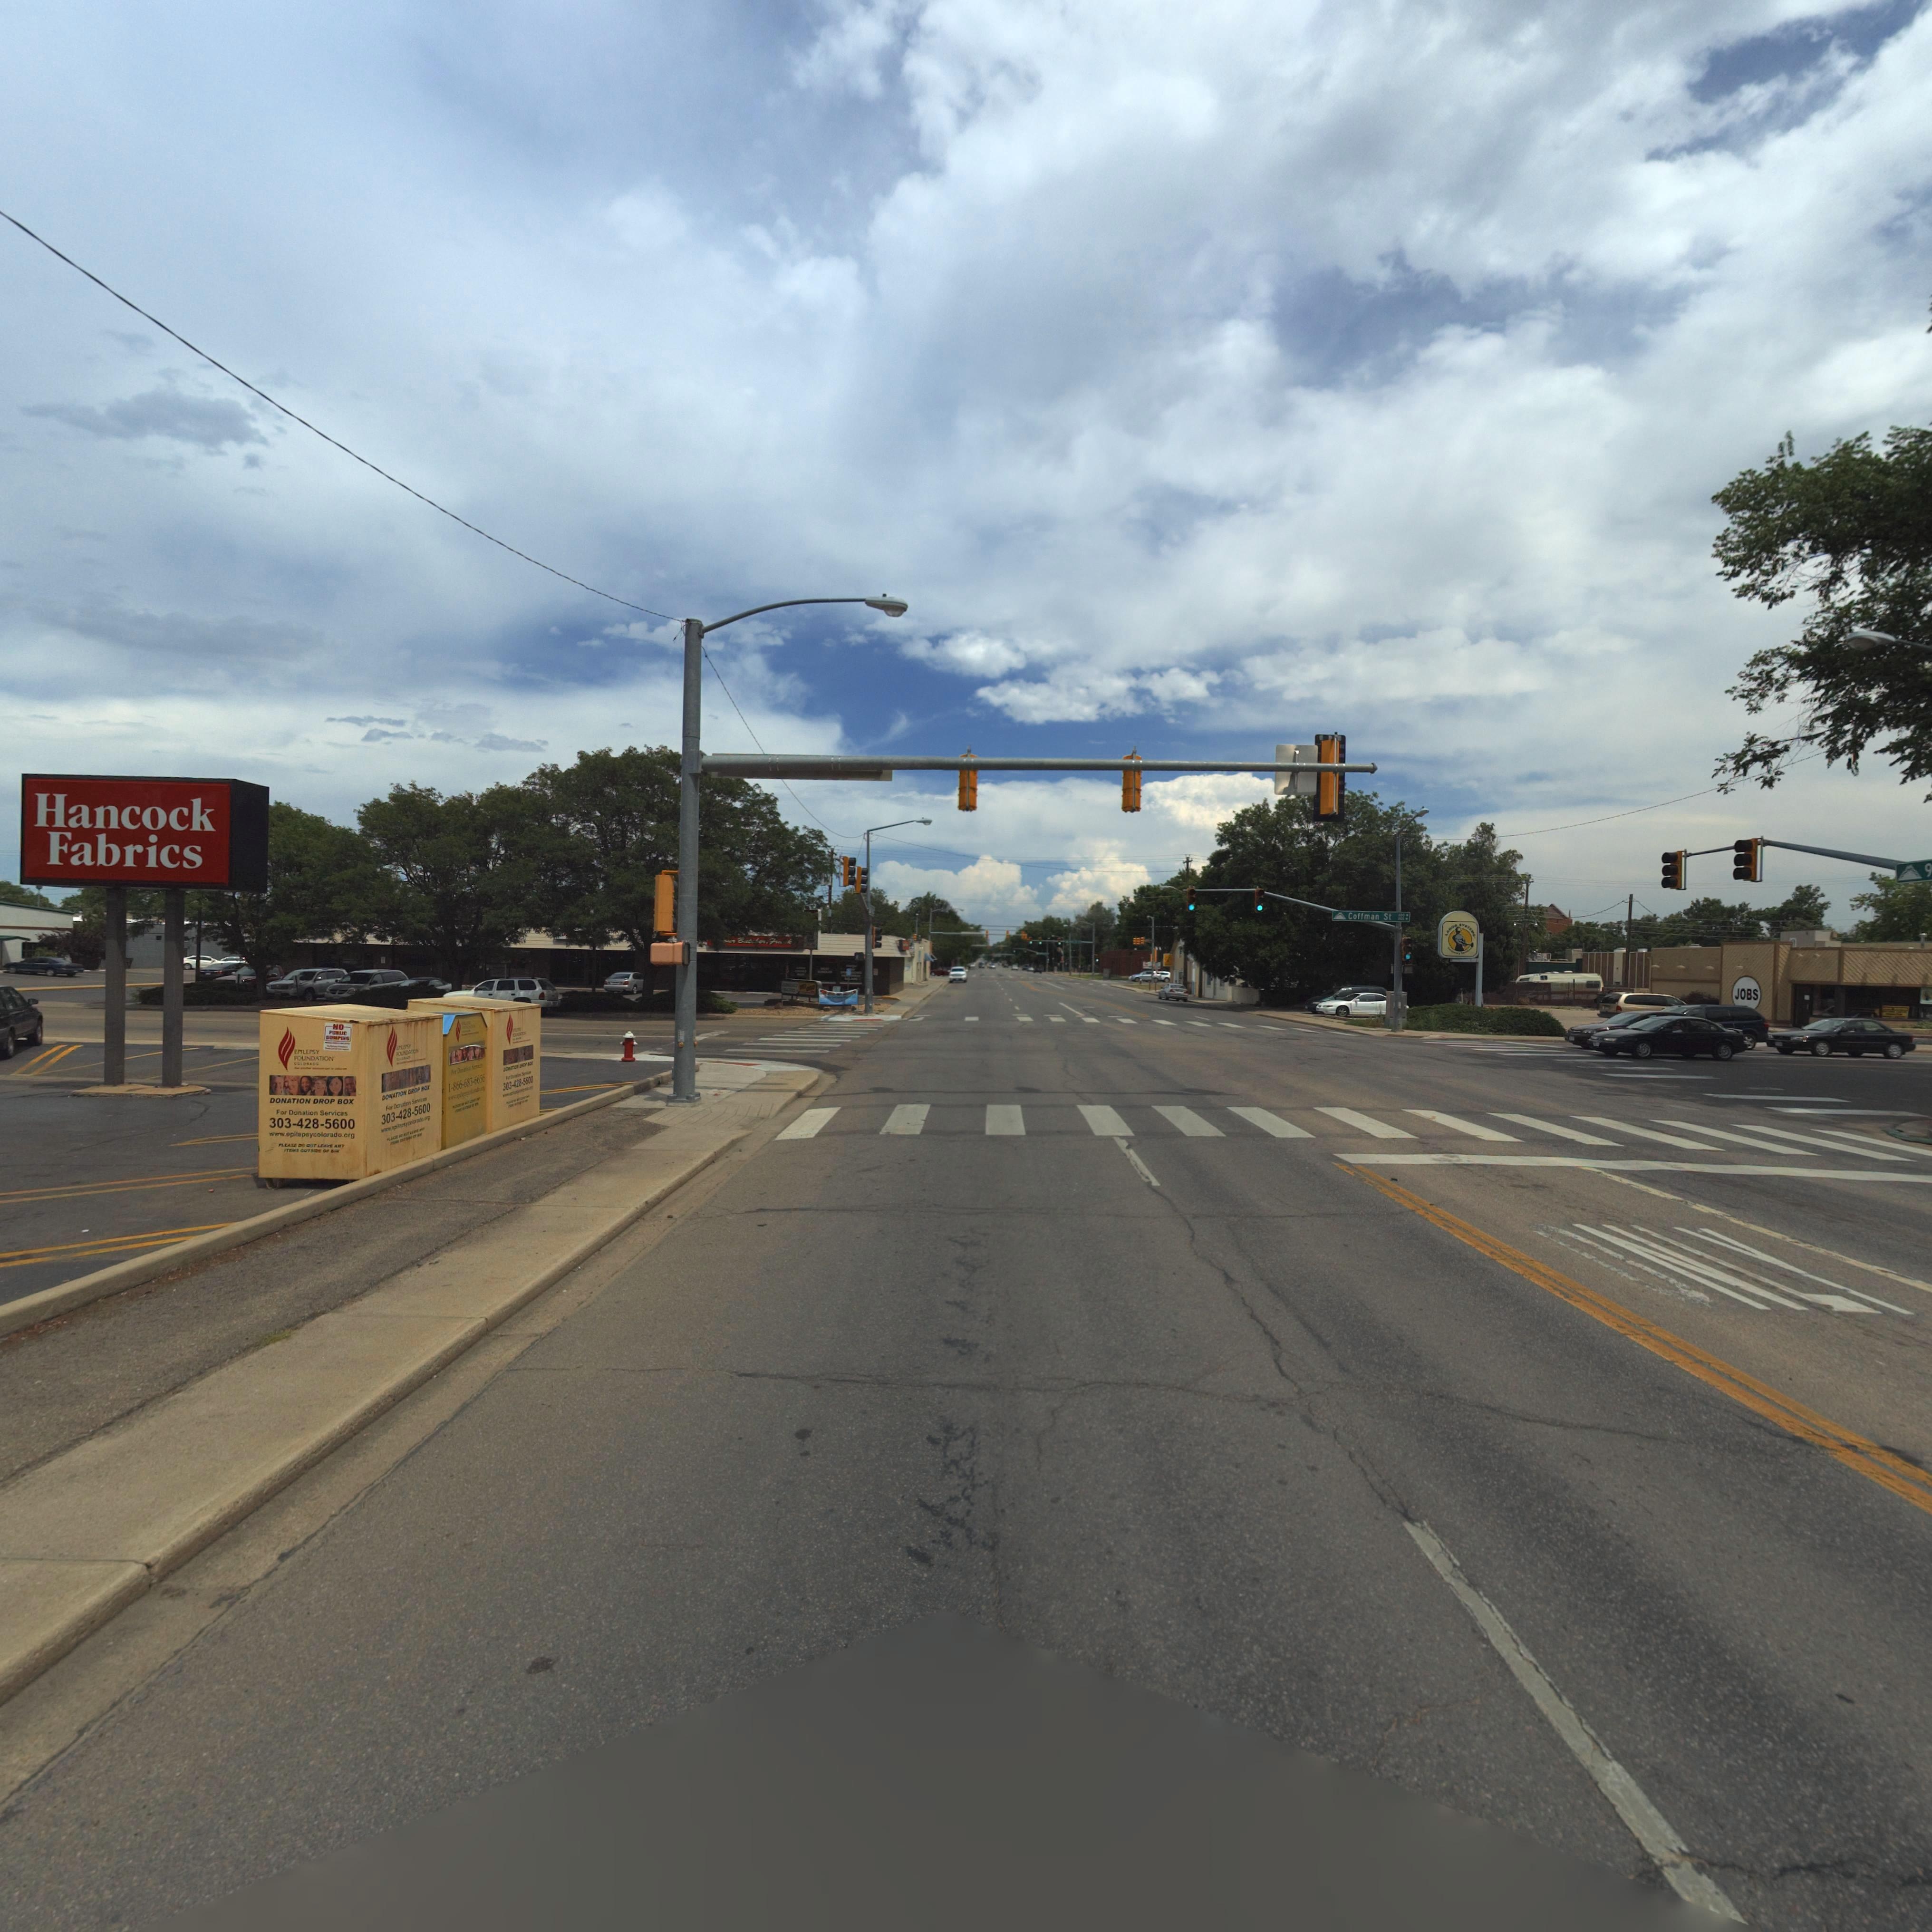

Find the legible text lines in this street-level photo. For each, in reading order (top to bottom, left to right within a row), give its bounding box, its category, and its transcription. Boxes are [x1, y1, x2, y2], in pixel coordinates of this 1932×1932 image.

[33, 792, 216, 833] BusinessName: Hancock
[45, 830, 203, 869] BusinessName: Fabrics
[1924, 862, 1932, 878] StreetName: 9
[1348, 912, 1392, 920] StreetName: Coffman St
[1398, 913, 1405, 917] StreetNumberRange: 600
[1397, 917, 1409, 920] StreetNumberRange: *00->
[1444, 923, 1476, 937] BusinessName: LA*O* *Y*****
[723, 936, 792, 946] BusinessName: **r But**er Fra*k